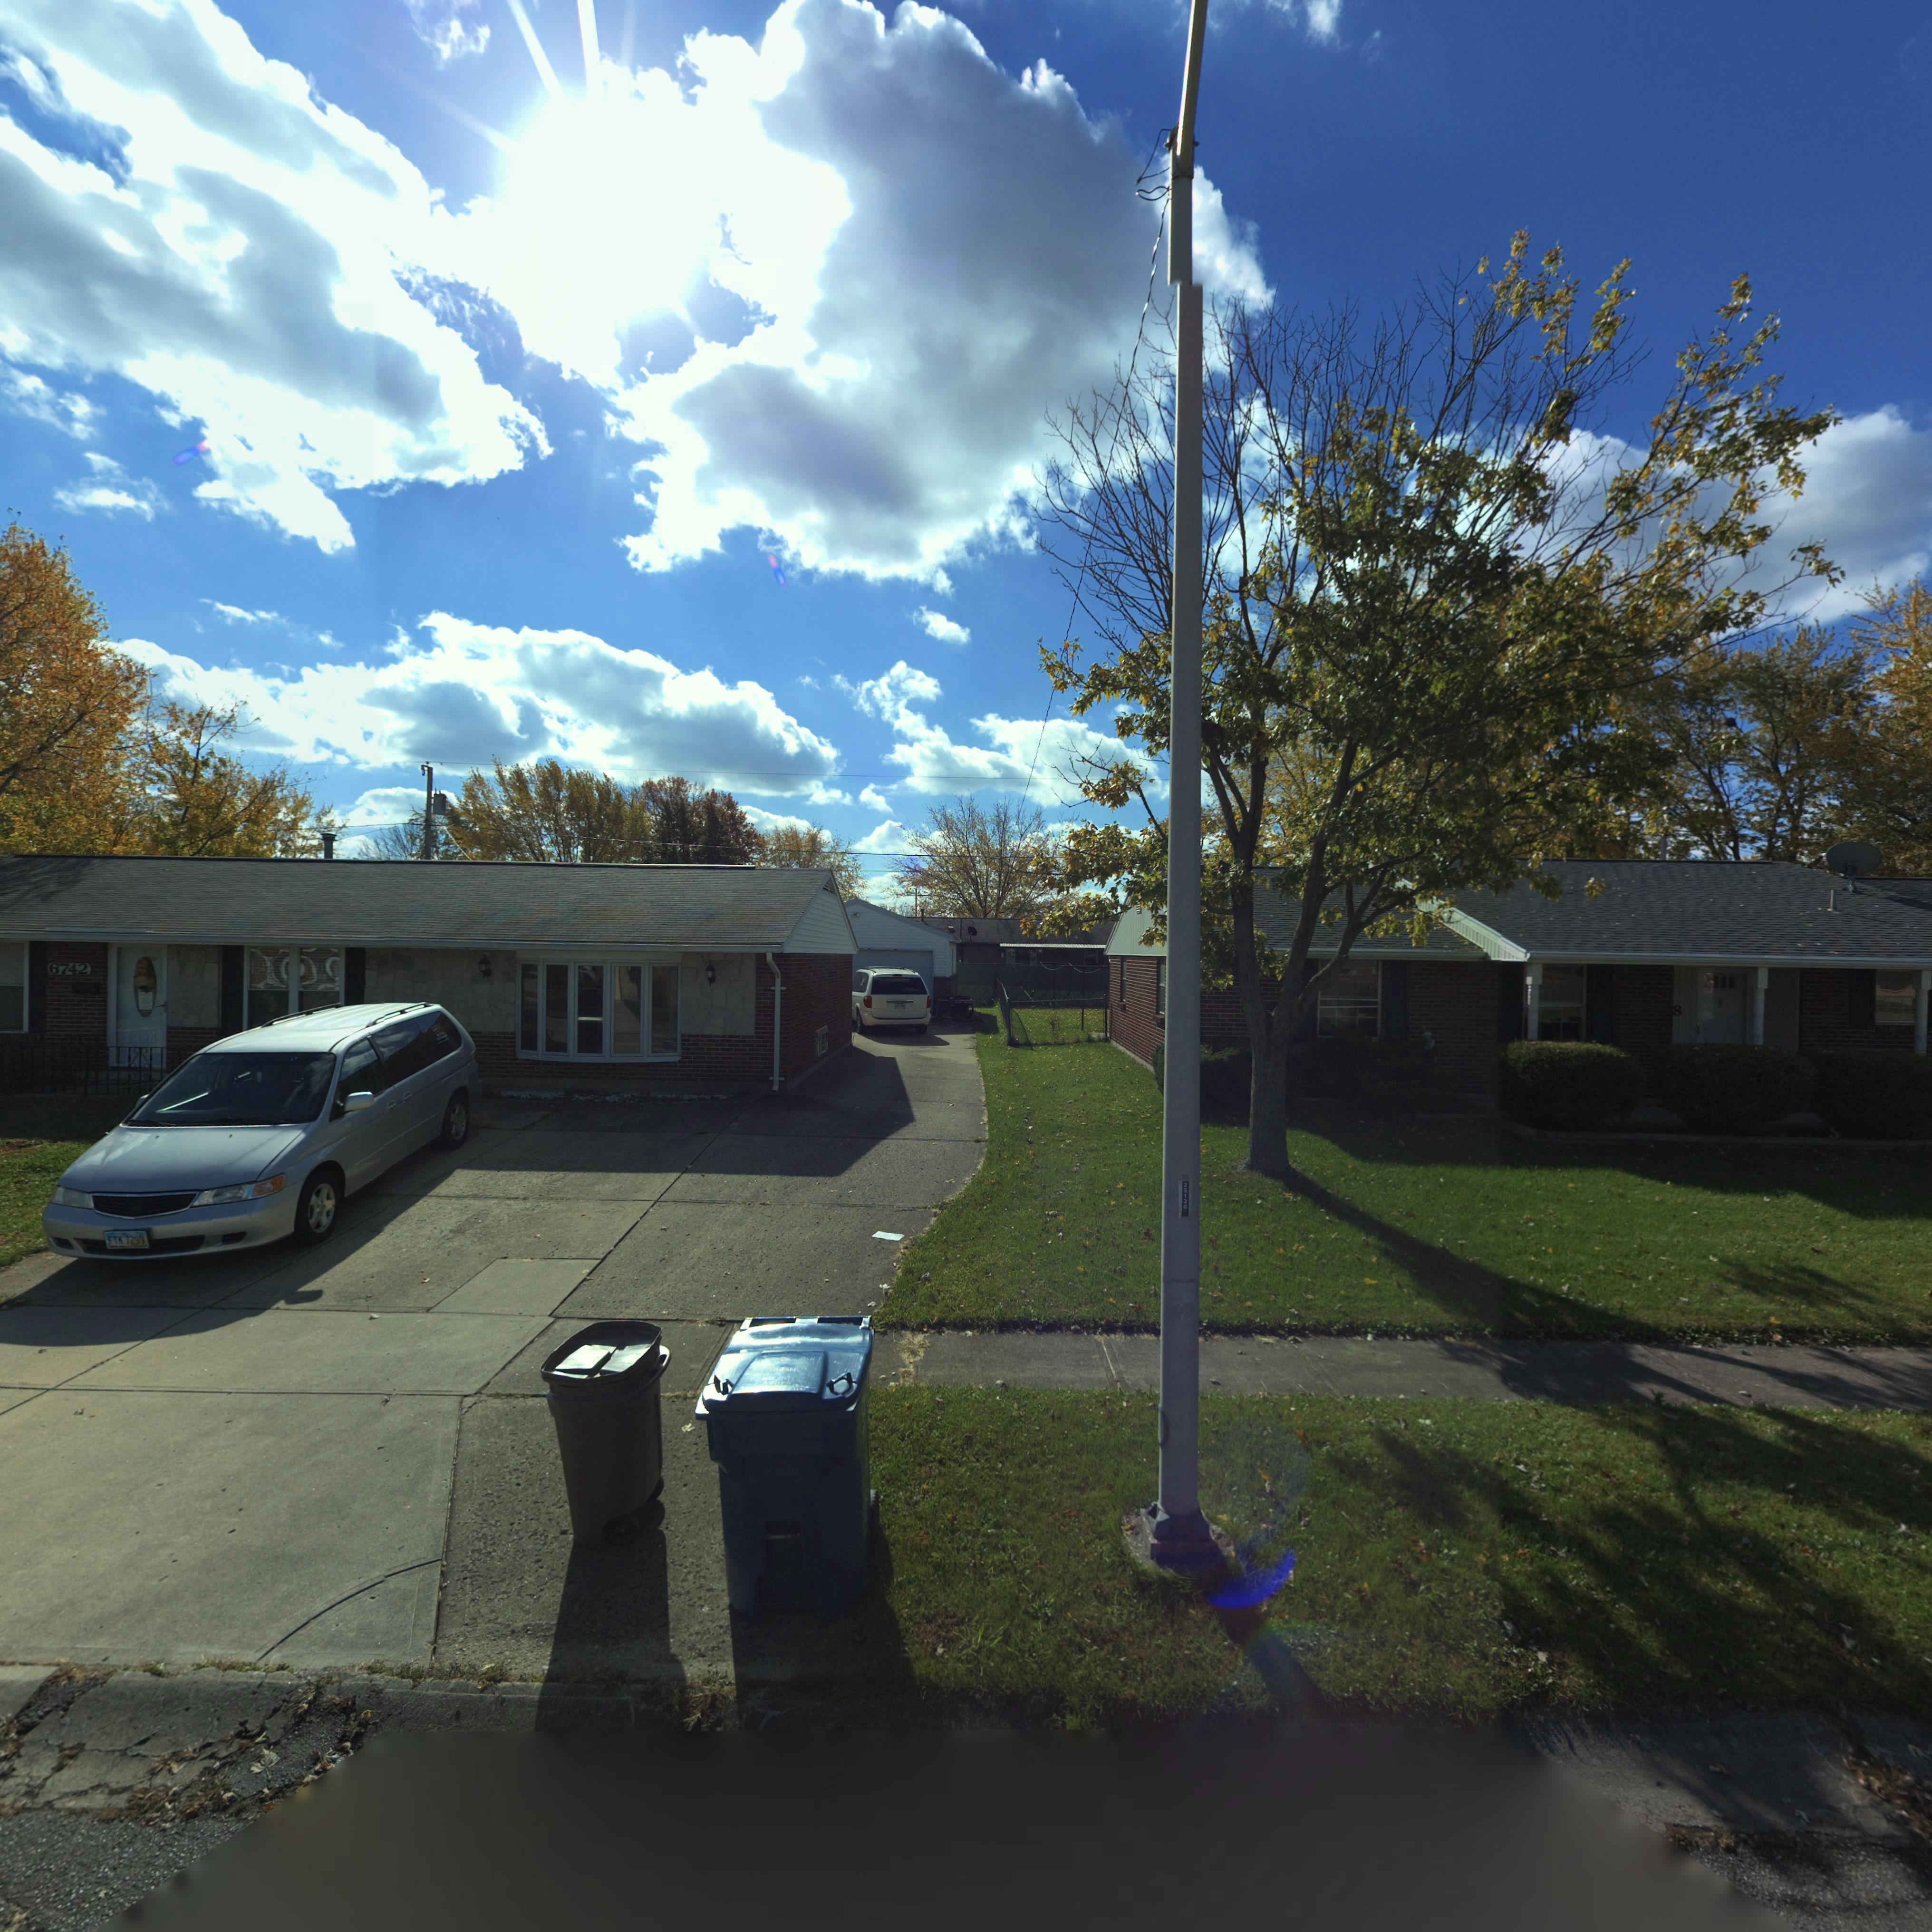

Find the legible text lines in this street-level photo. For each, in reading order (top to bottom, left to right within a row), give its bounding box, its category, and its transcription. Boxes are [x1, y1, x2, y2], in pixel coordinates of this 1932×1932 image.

[48, 962, 89, 975] StreetNumber: 6742
[1671, 1005, 1683, 1017] StreetNumber: 8